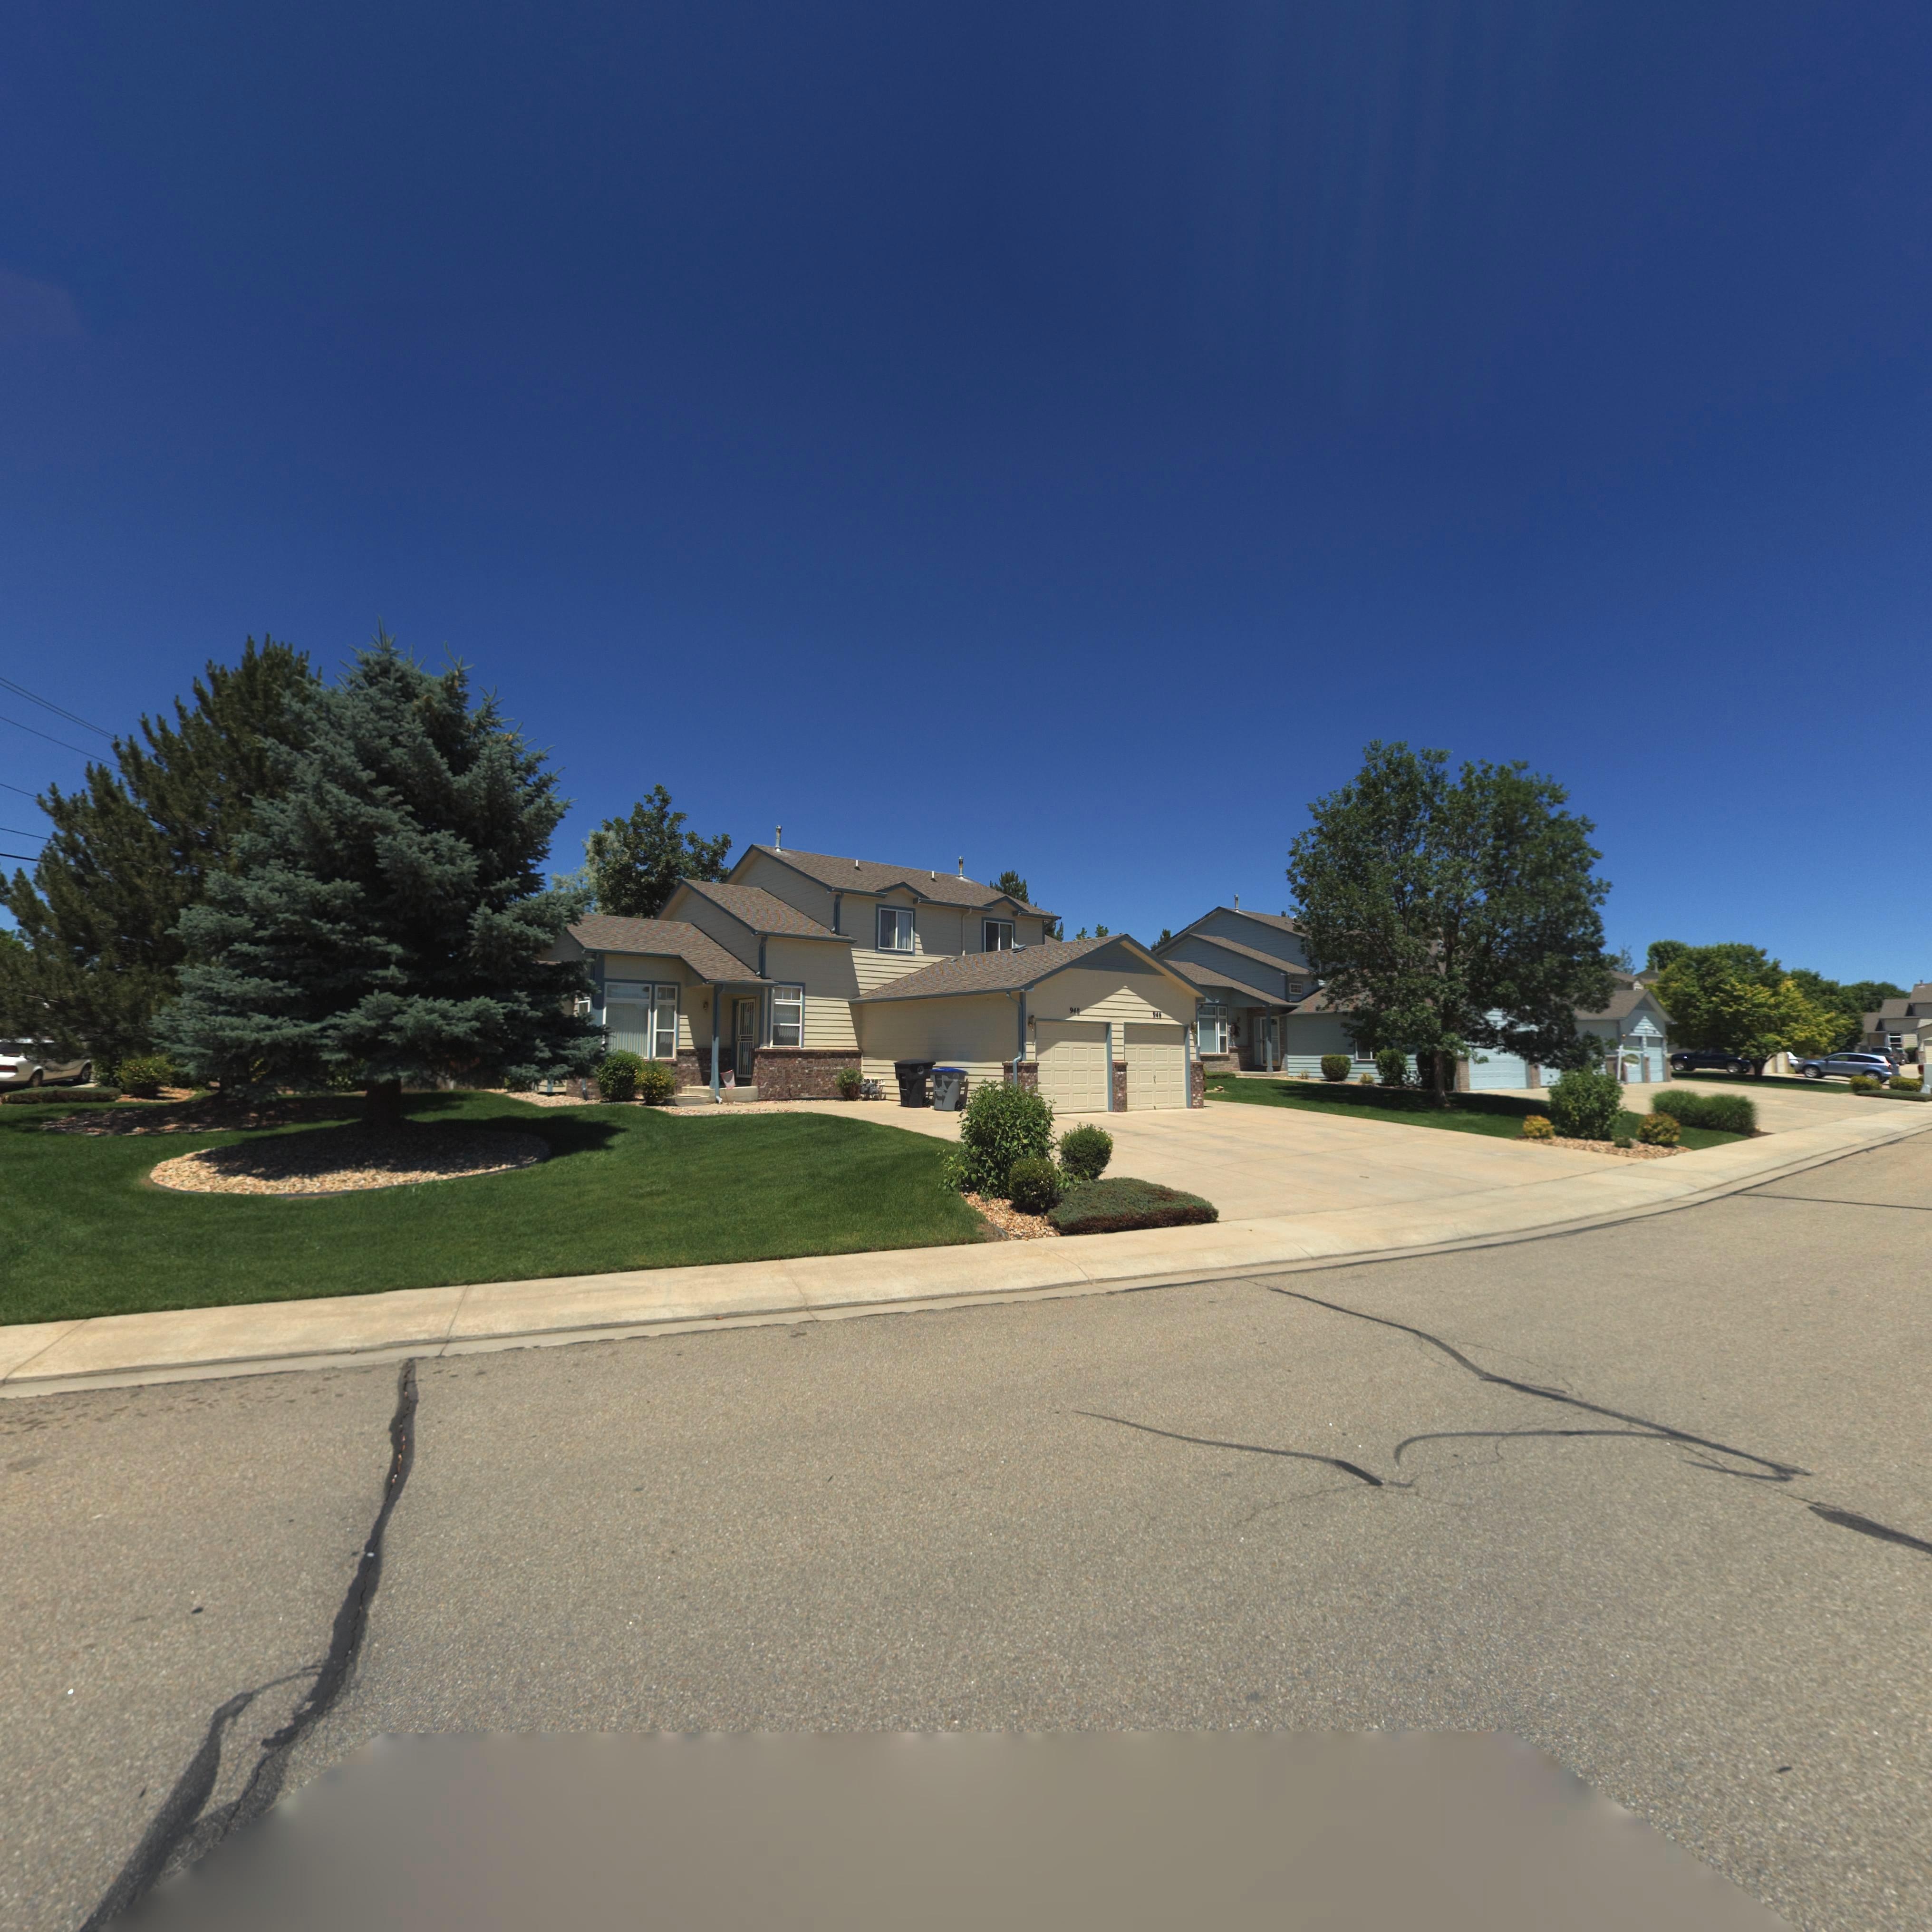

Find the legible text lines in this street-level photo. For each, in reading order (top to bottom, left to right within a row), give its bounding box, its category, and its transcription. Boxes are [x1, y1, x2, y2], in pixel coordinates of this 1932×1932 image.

[1069, 1006, 1080, 1014] StreetNumber: 948
[1152, 1011, 1161, 1018] StreetNumber: 946